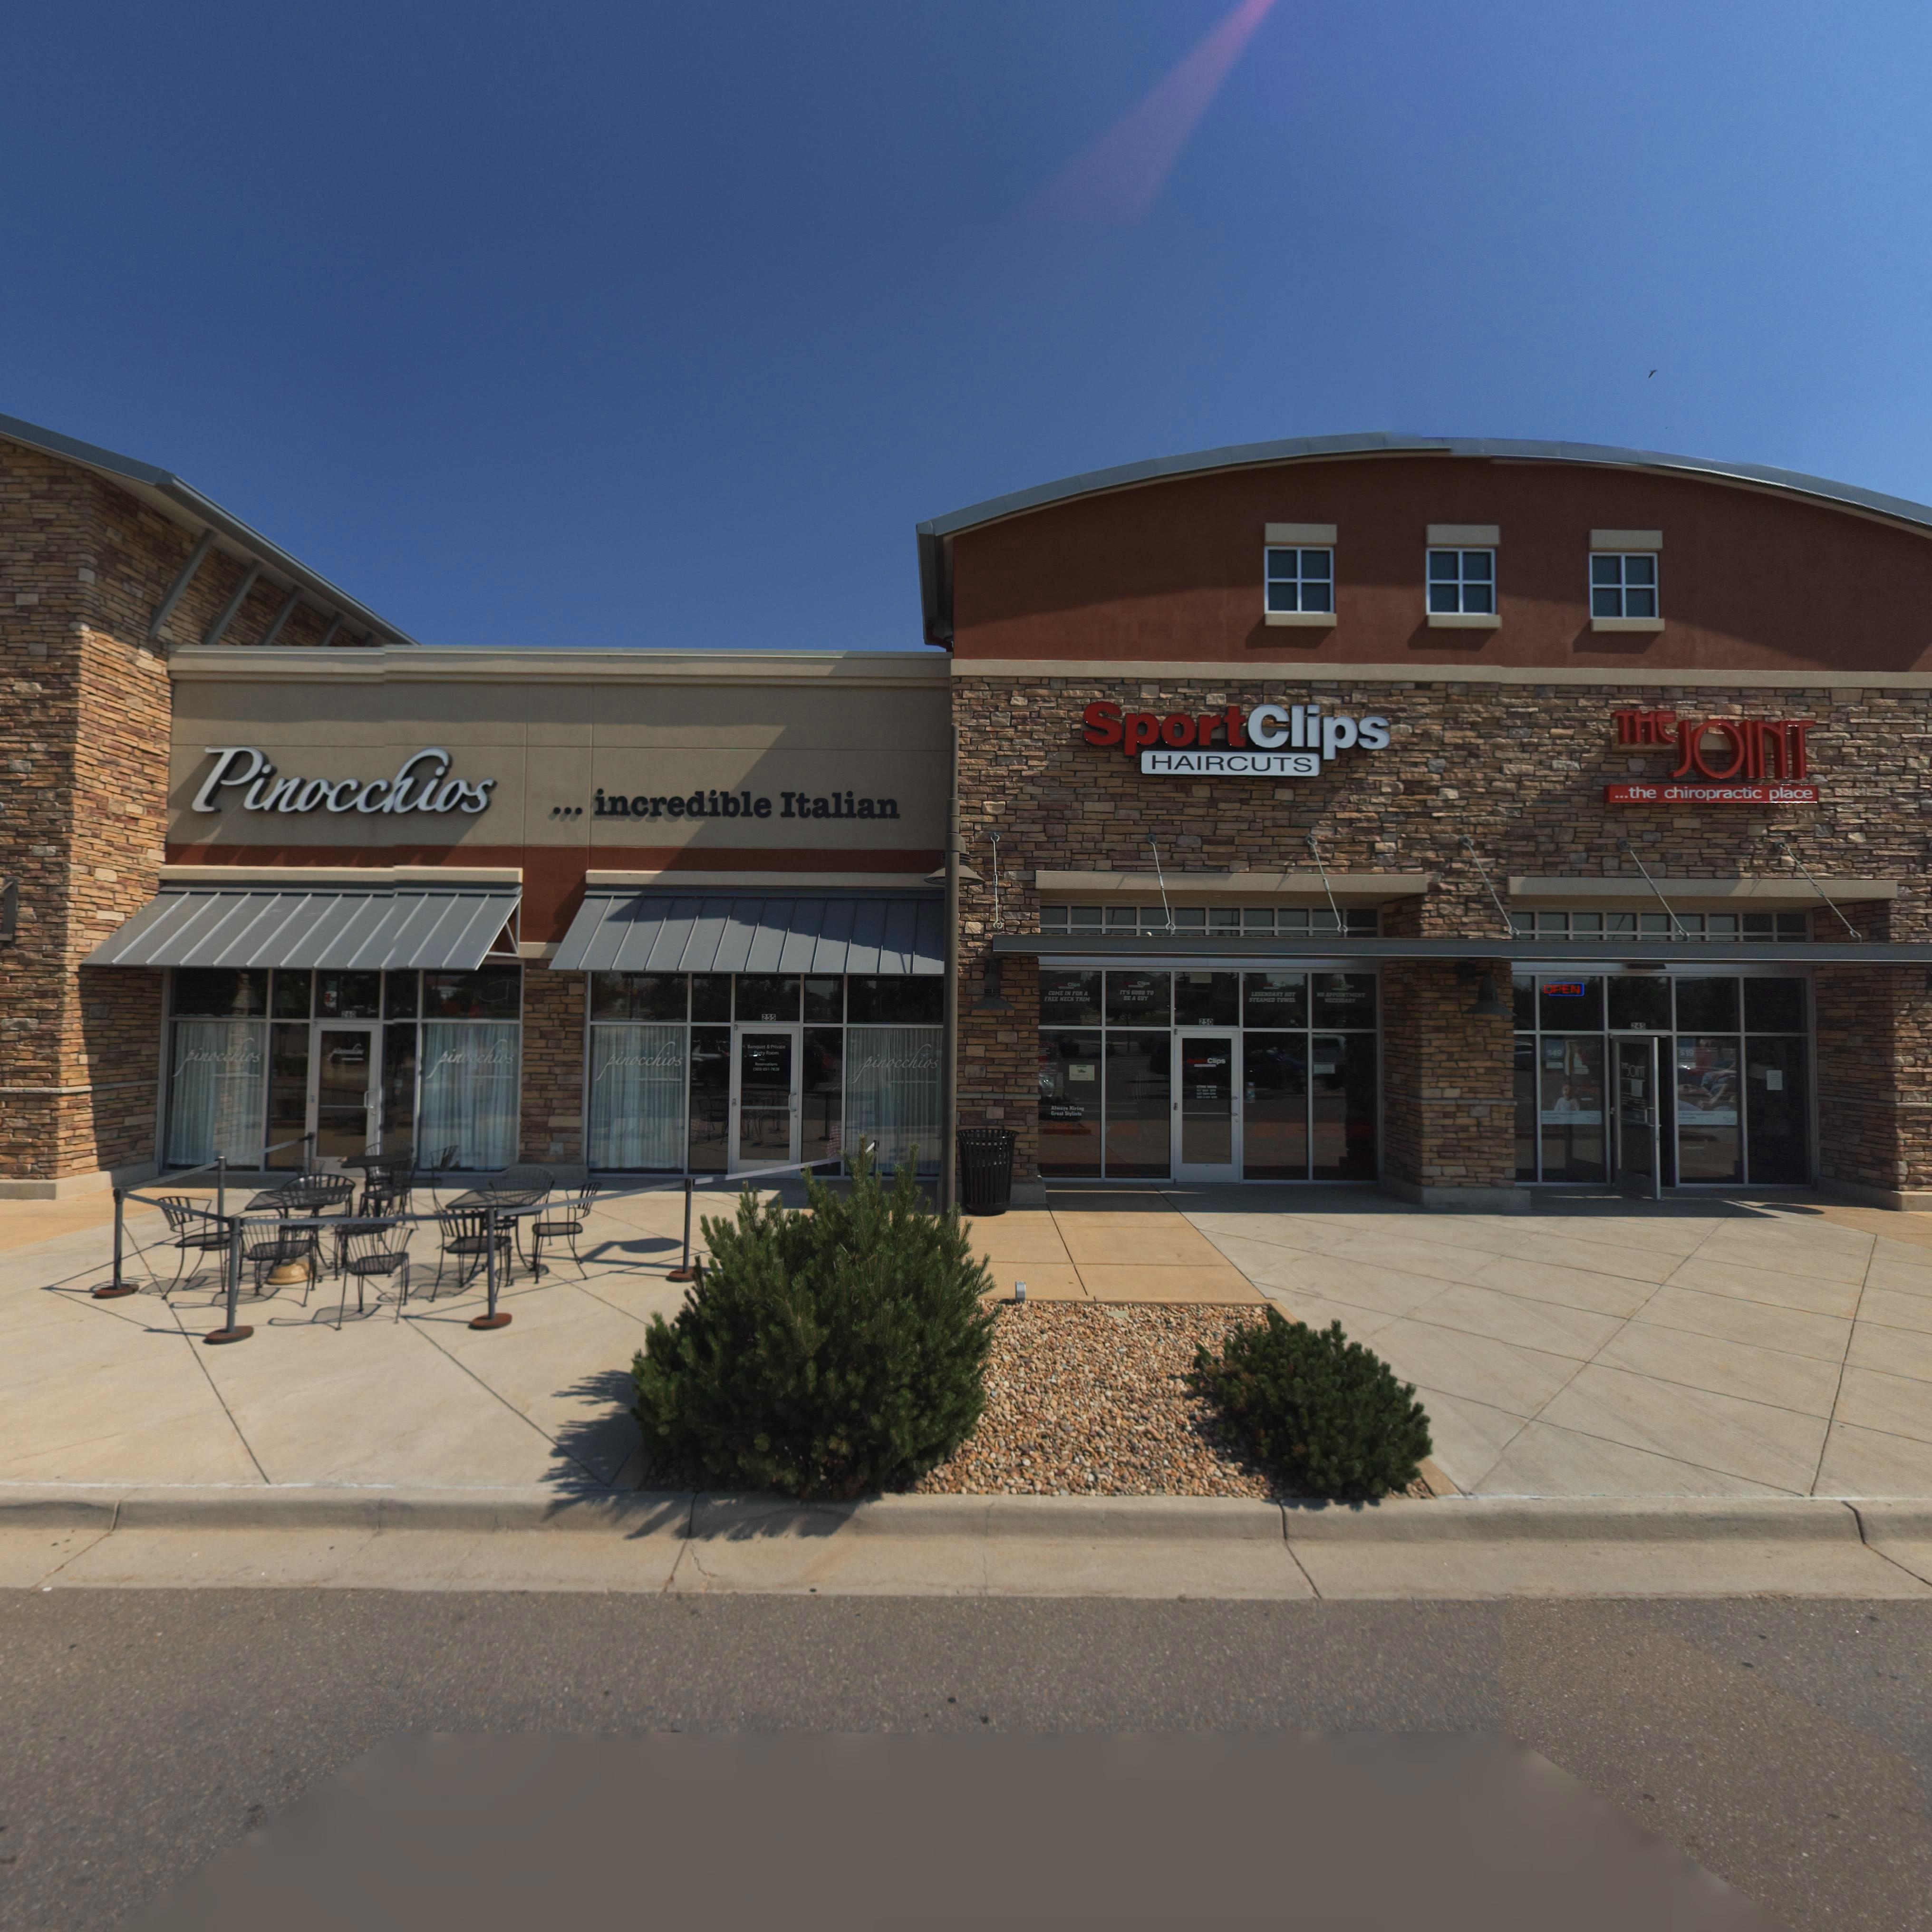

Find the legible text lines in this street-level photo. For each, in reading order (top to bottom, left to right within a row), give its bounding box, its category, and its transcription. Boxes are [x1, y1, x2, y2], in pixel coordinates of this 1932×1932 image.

[1082, 700, 1391, 761] BusinessName: SportClips
[1609, 709, 1815, 780] BusinessName: THE JOINT
[1151, 755, 1312, 773] None: HAIRCUTS
[190, 744, 903, 819] BusinessName: Pinocchios ... incredible Italian
[1614, 785, 1813, 801] BusinessName: ... the chiropractic place
[1054, 981, 1080, 987] BusinessName: *****Clips
[1123, 981, 1150, 985] BusinessName: *****Cl*p*
[342, 1011, 355, 1018] StreetNumber: 2*0
[762, 1014, 775, 1020] StreetNumber: 255
[1199, 1019, 1212, 1024] StreetNumber: 250
[1632, 1023, 1646, 1028] StreetNumber: 2*
[171, 1037, 261, 1078] None: pinocchios
[425, 1039, 514, 1079] BusinessName: pinocchios
[594, 1041, 683, 1082] BusinessName: pinocchios
[850, 1043, 939, 1084] BusinessName: pinocchios
[1187, 1057, 1226, 1064] BusinessName: *****Clips
[1621, 1063, 1646, 1078] BusinessName: **JOINT